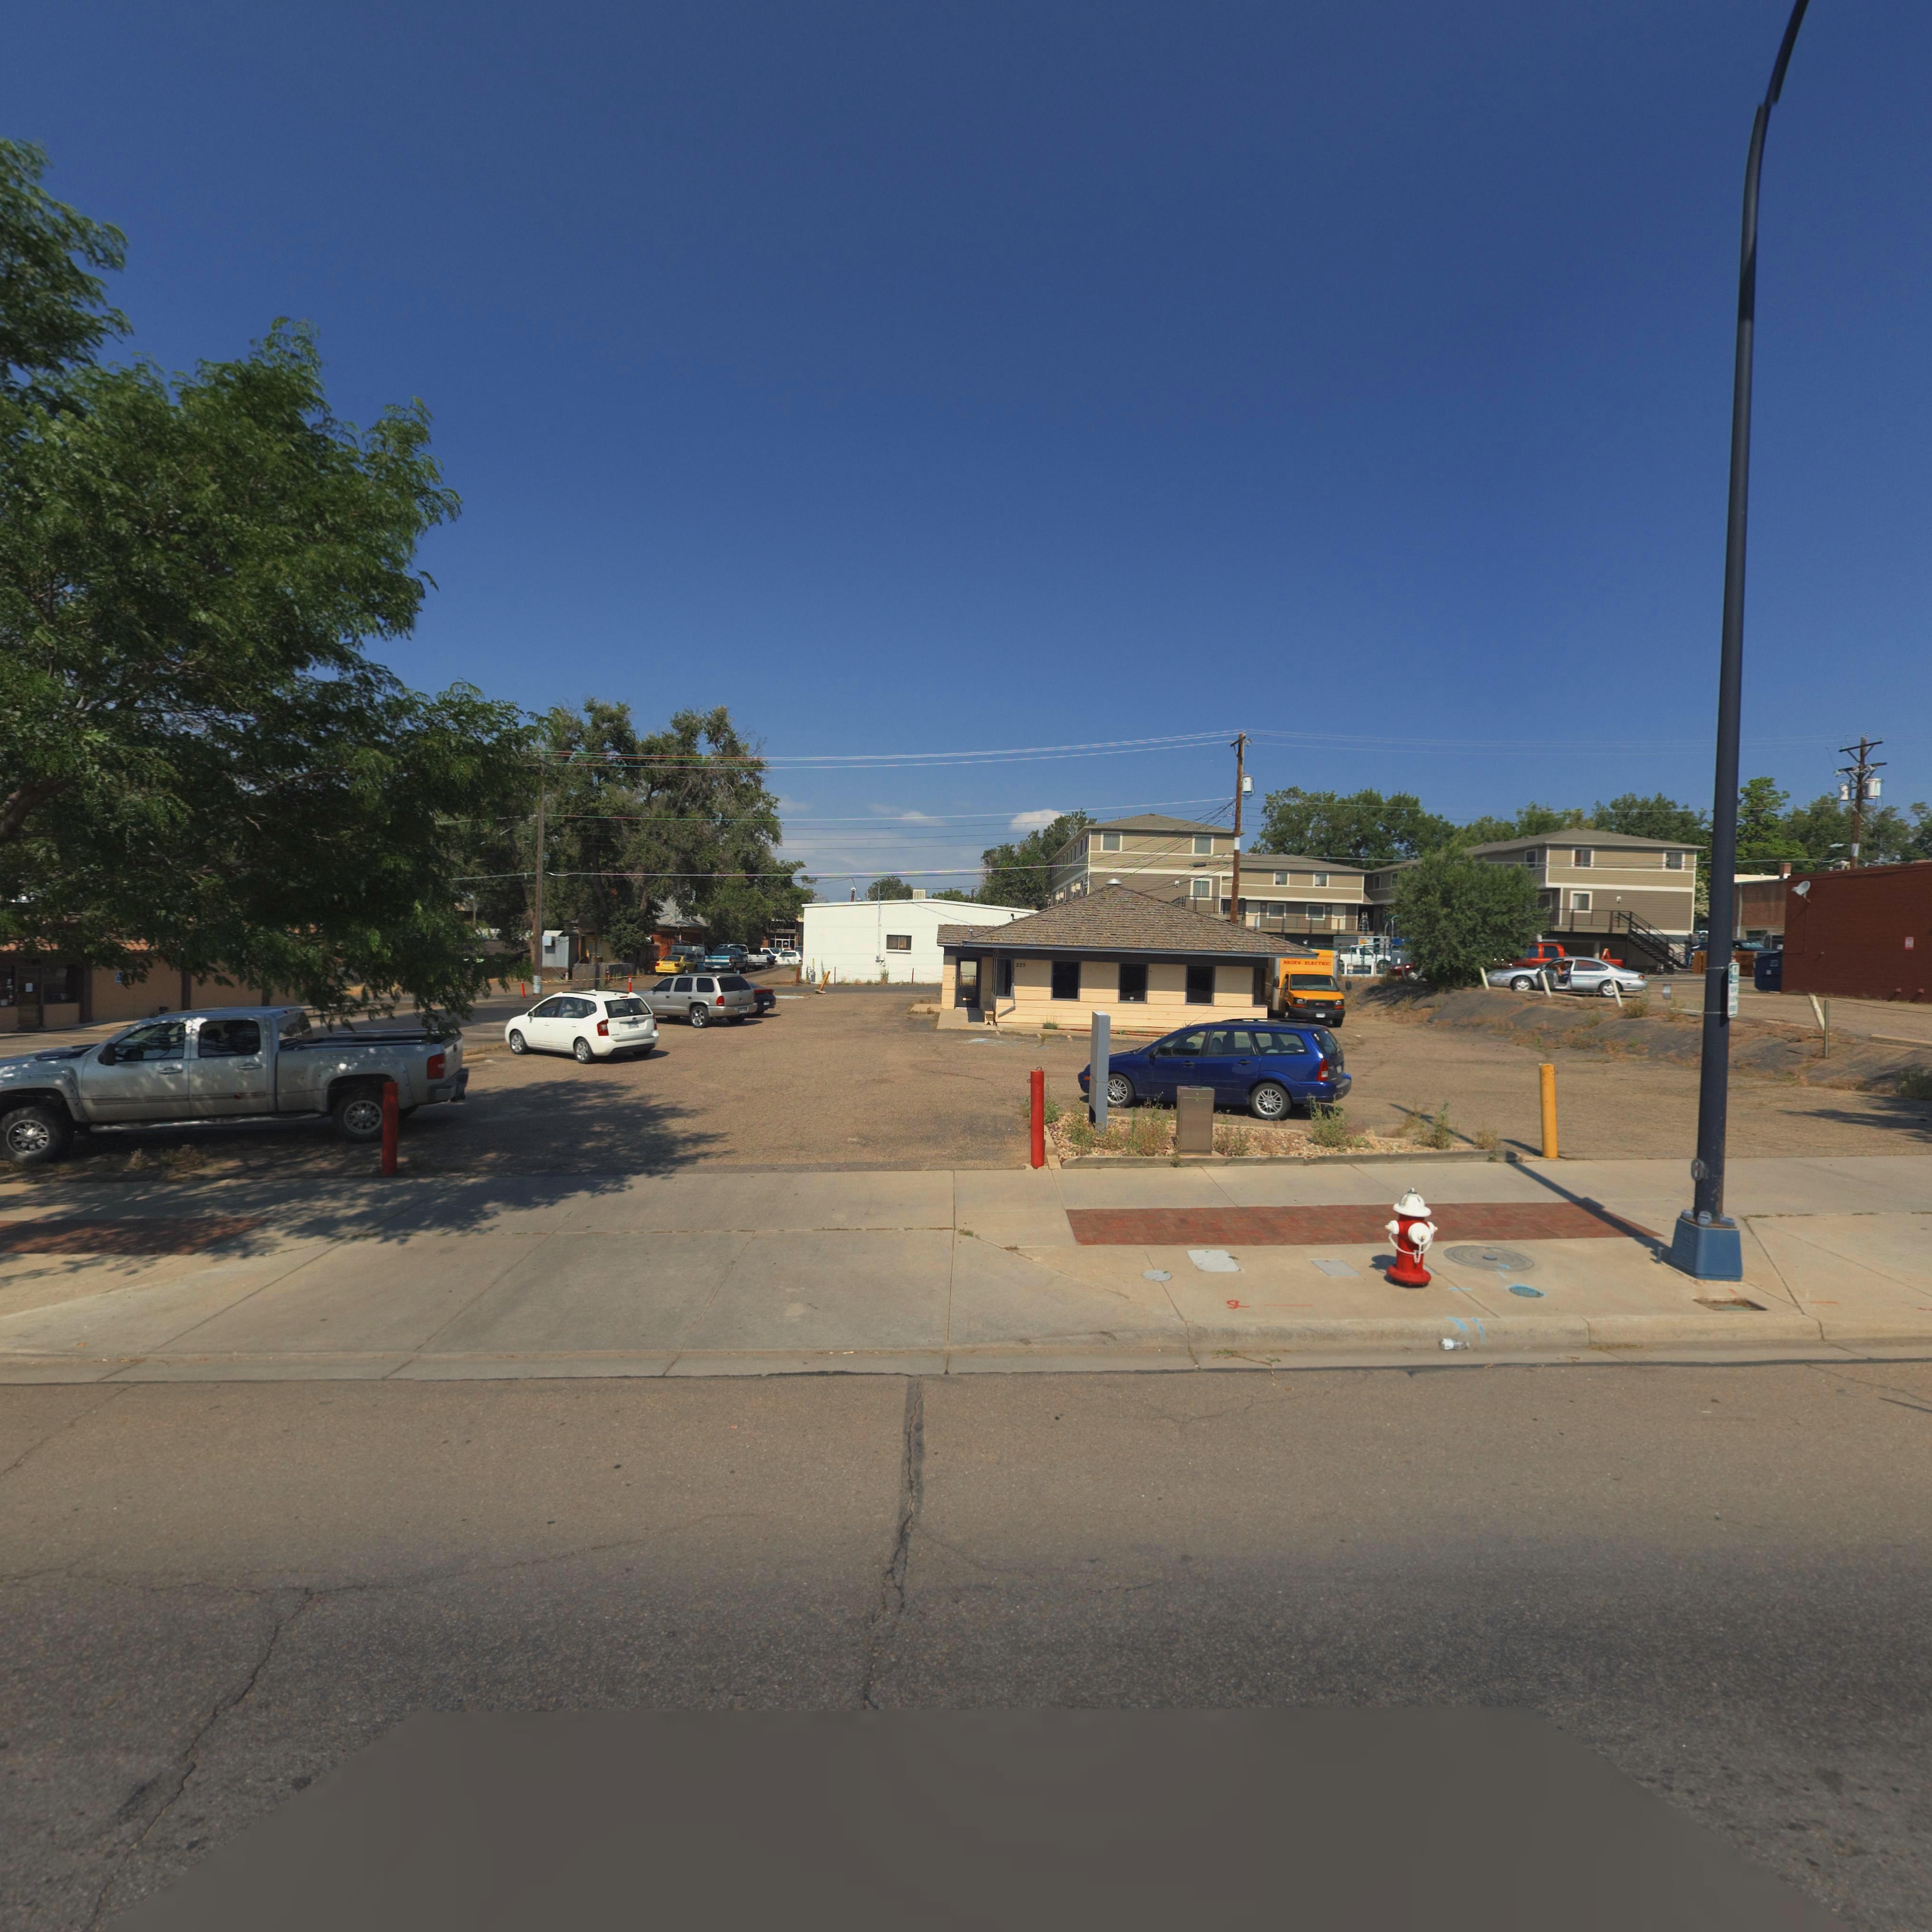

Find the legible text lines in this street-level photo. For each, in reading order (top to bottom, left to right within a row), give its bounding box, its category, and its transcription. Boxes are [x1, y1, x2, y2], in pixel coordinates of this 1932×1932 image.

[1015, 963, 1025, 967] StreetNumber: 225